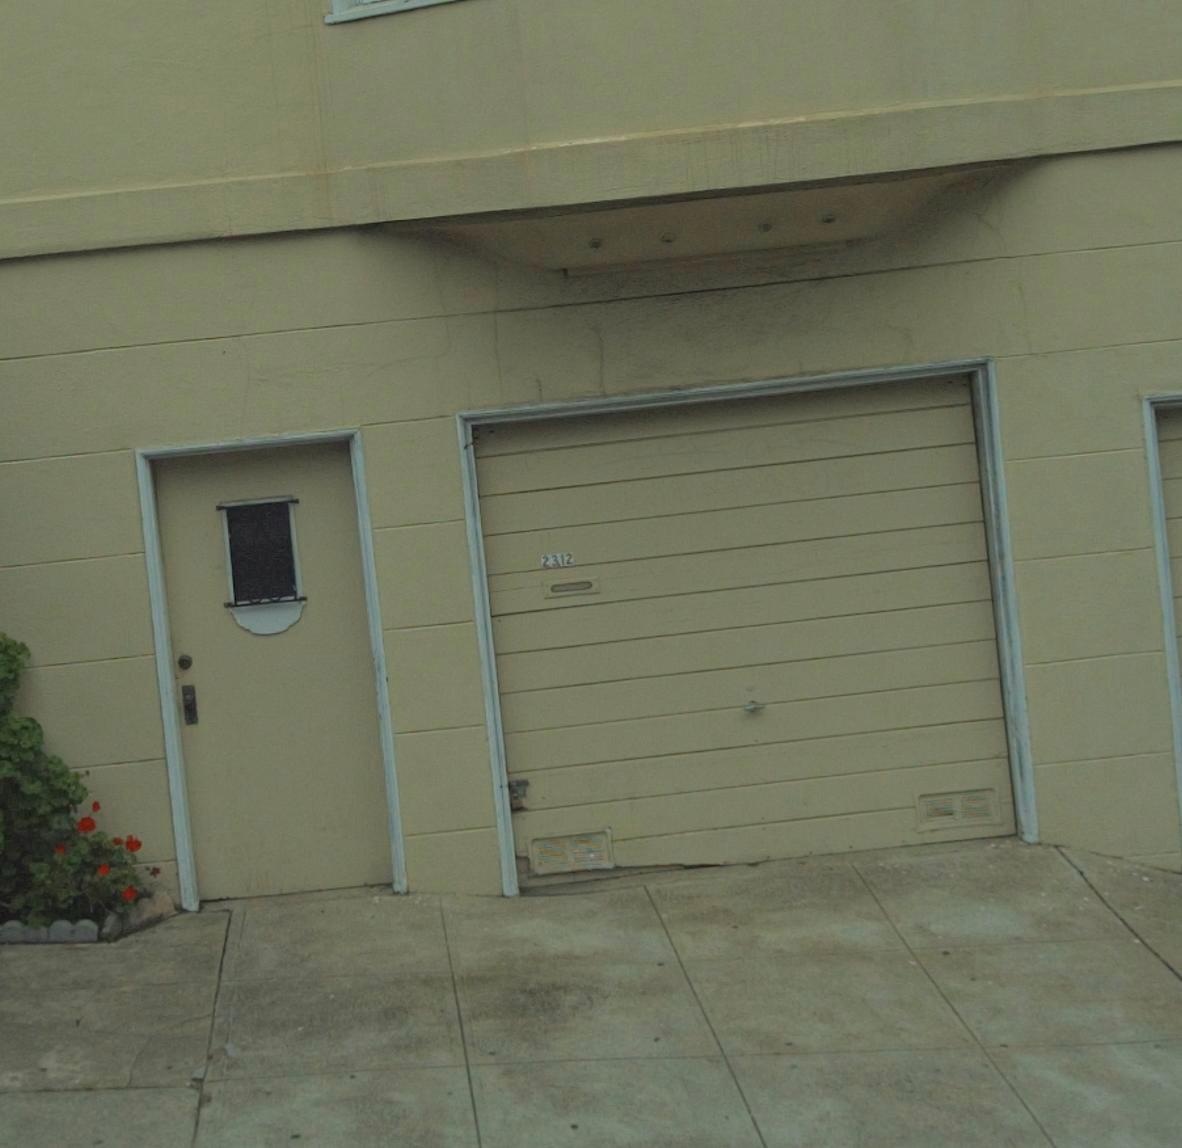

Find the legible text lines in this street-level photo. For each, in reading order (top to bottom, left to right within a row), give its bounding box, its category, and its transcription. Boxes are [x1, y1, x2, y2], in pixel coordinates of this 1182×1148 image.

[540, 551, 575, 570] StreetNumber: 2312